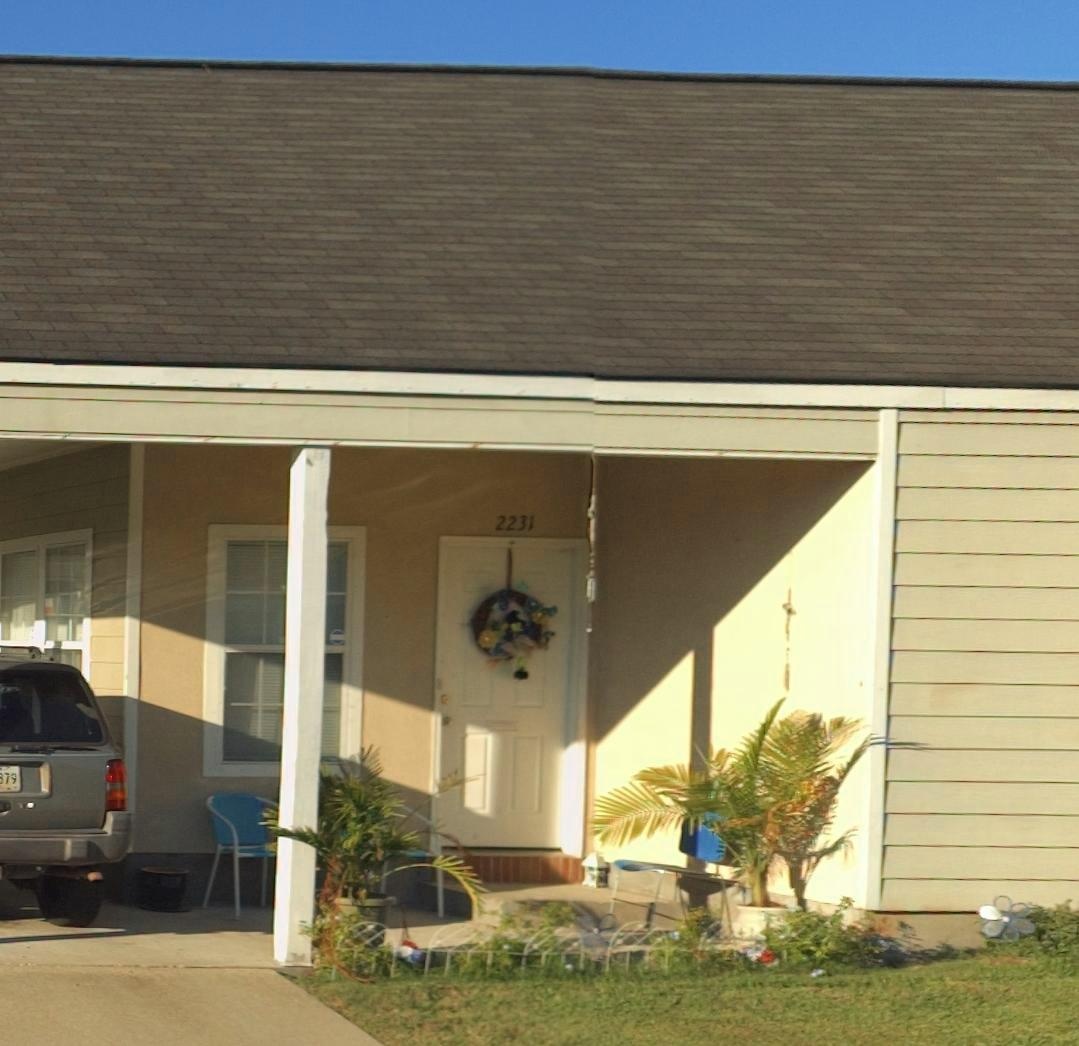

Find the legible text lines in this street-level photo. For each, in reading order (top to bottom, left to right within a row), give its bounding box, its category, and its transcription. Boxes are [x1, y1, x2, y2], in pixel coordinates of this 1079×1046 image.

[492, 512, 537, 533] StreetNumber: 2231
[2, 770, 19, 786] None: 79